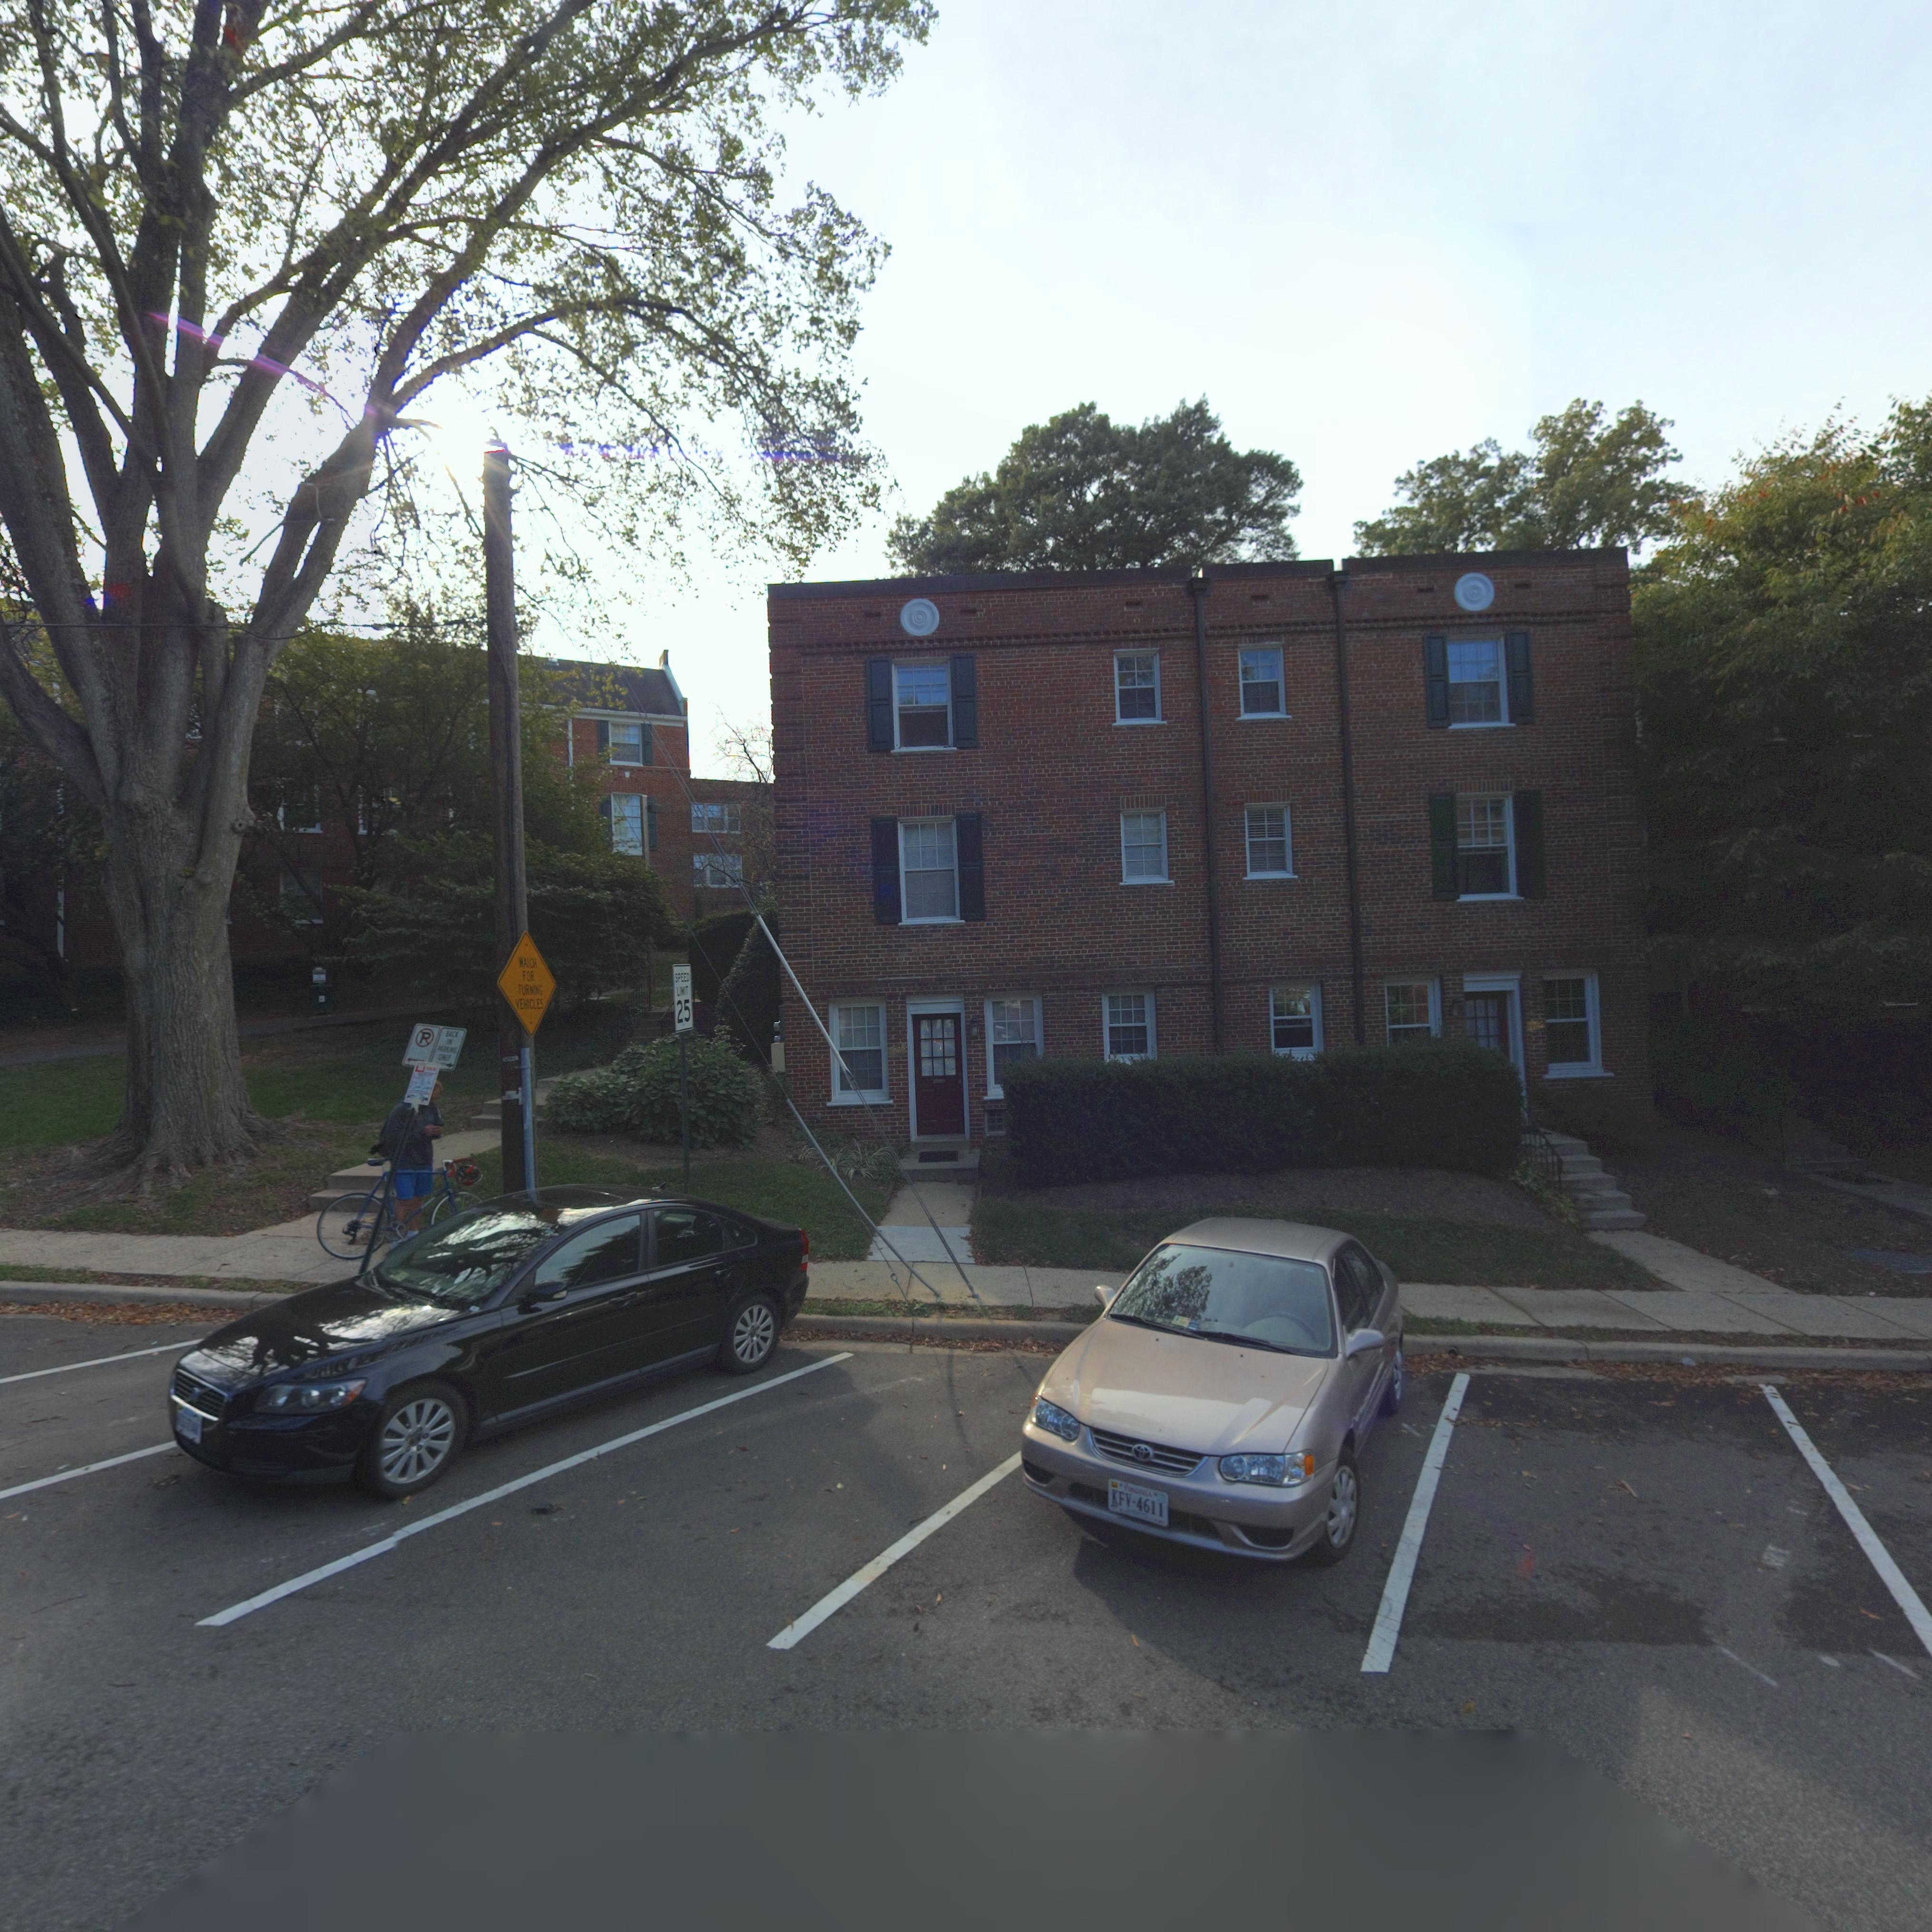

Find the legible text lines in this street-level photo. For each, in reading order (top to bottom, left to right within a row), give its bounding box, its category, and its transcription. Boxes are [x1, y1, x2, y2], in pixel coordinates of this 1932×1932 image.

[517, 955, 539, 970] None: WA*CH
[521, 969, 537, 983] None: FOR
[674, 972, 691, 984] None: SPEED
[517, 982, 545, 997] None: TURNING
[675, 984, 690, 998] None: LIMIT
[514, 996, 546, 1010] None: VEHICLES
[676, 997, 692, 1025] None: 25
[444, 1029, 458, 1039] None: BAC
[444, 1037, 454, 1047] None: IN
[435, 1052, 453, 1063] None: ONLY
[1110, 1485, 1165, 1521] None: KFV-4611